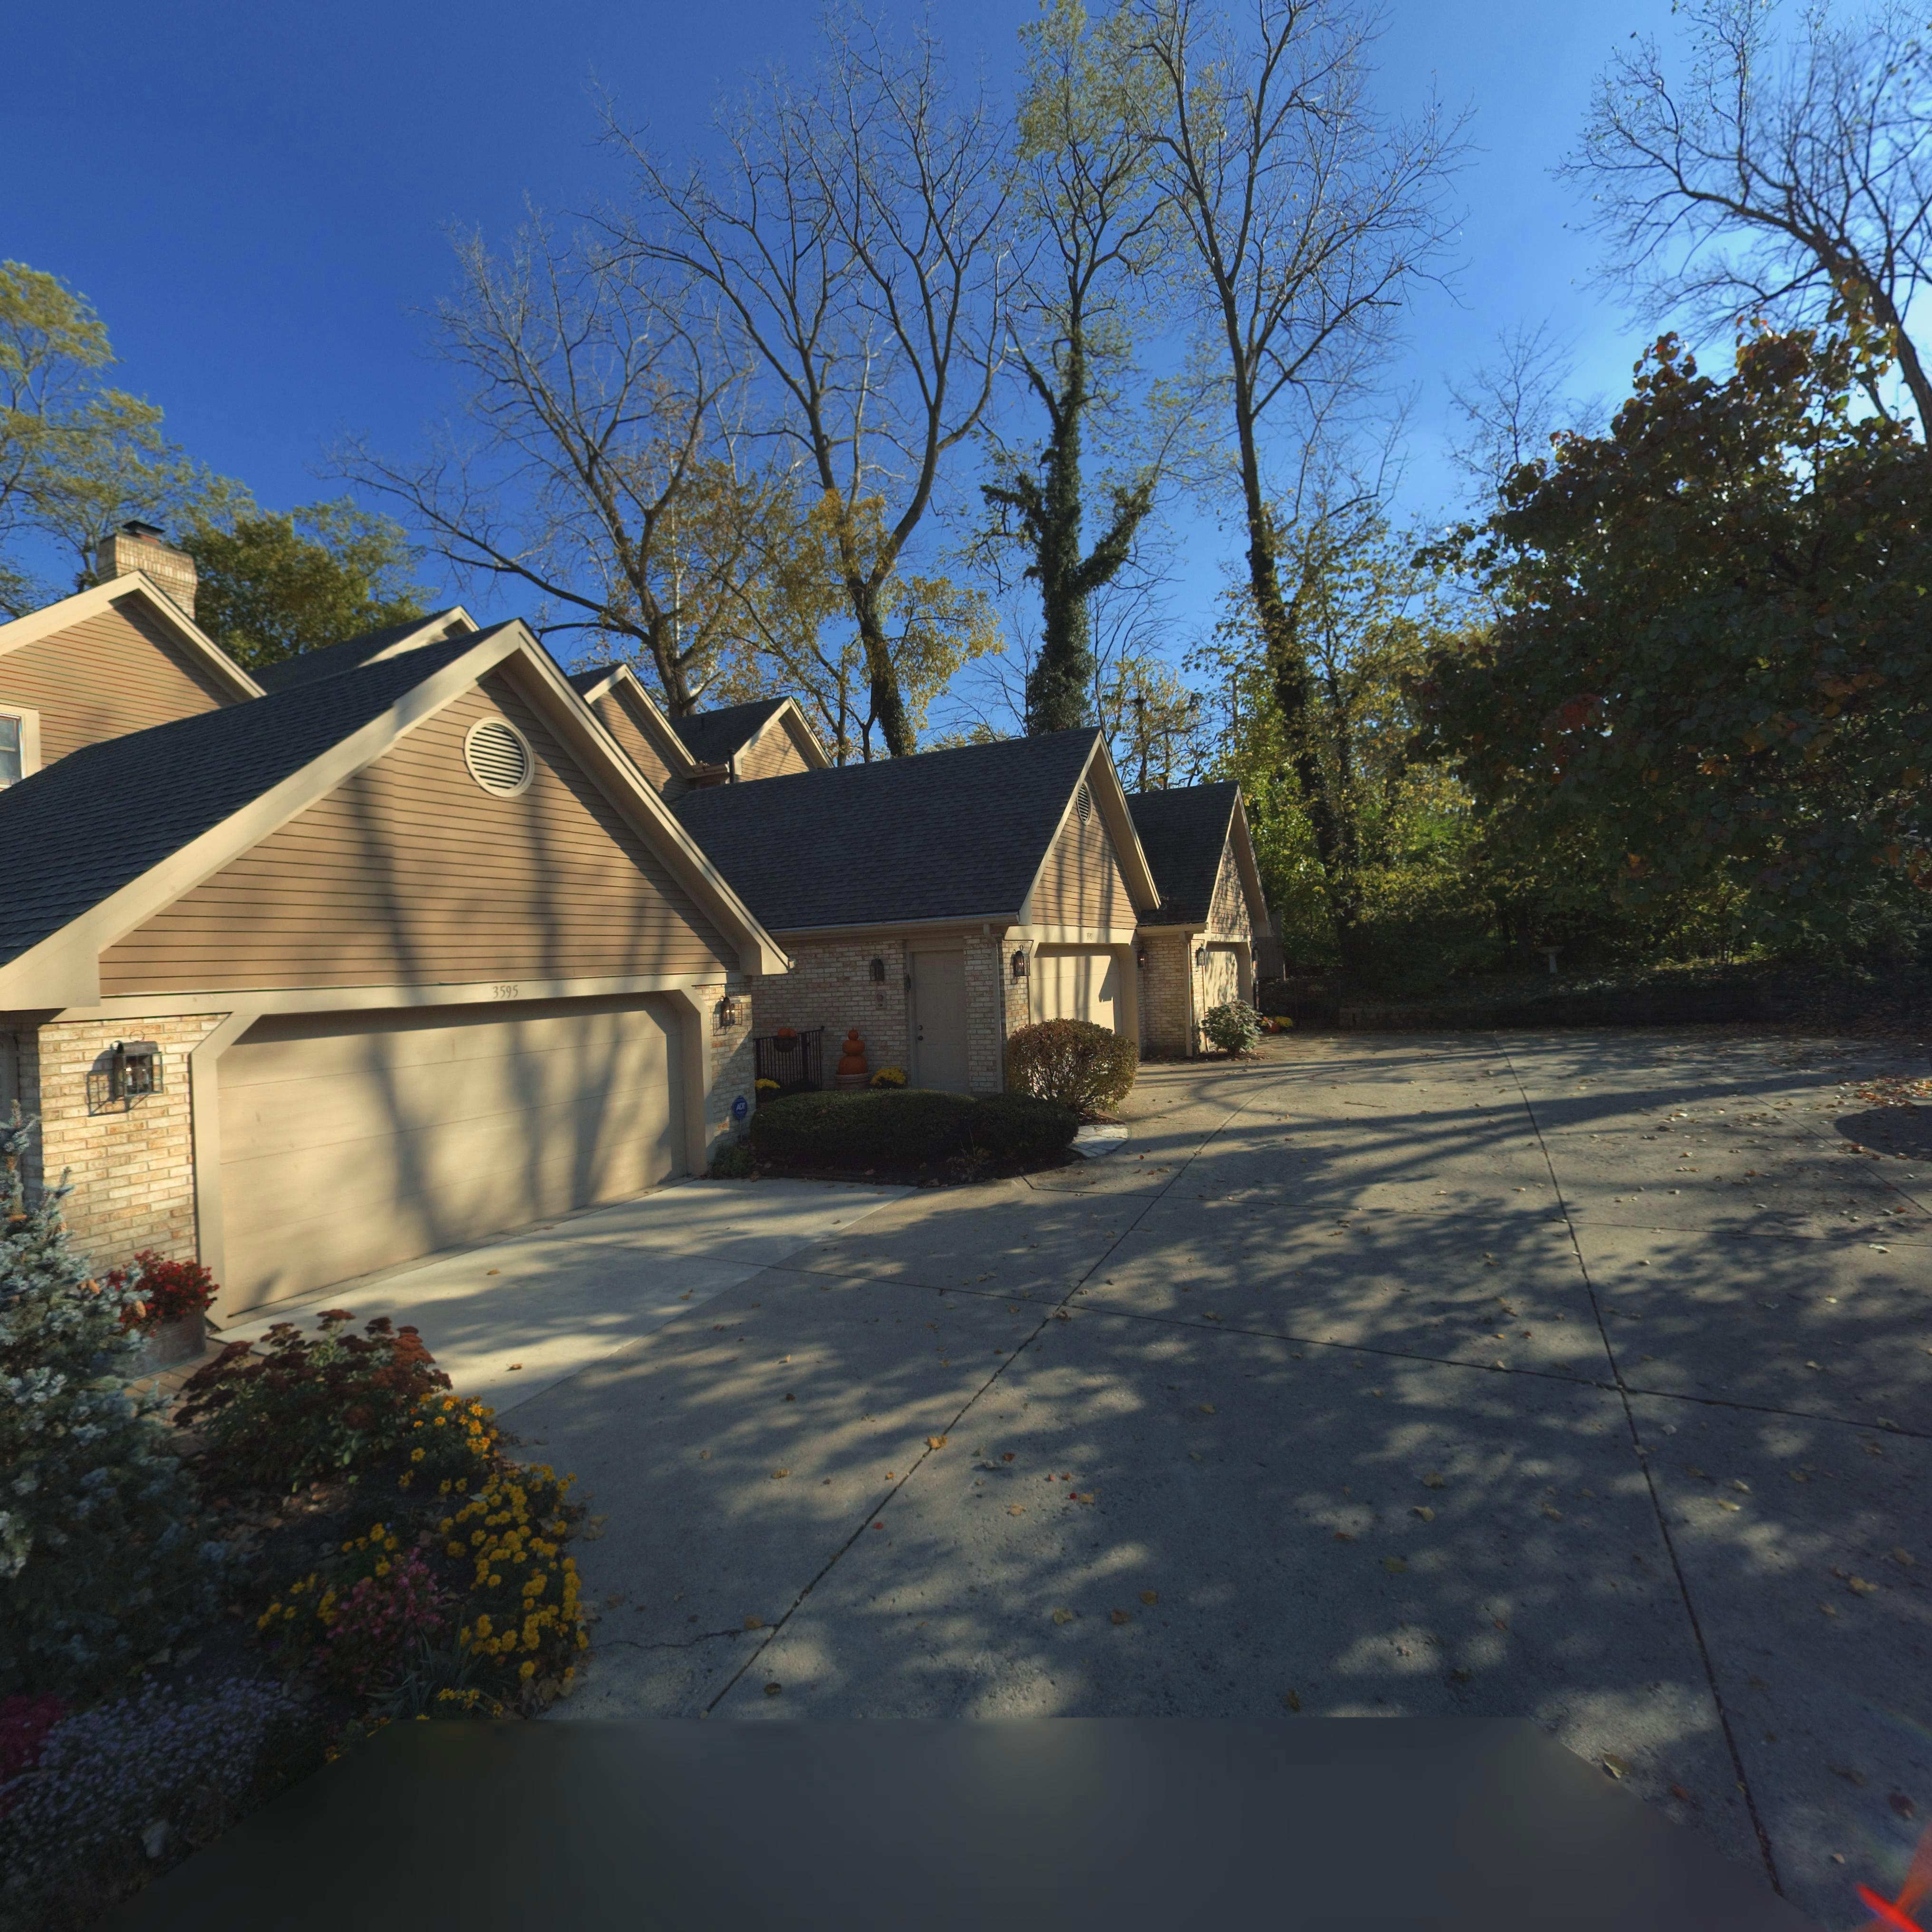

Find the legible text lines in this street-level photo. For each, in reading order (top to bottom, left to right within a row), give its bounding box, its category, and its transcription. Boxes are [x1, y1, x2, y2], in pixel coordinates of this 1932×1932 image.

[490, 982, 521, 1001] StreetNumber: 3595